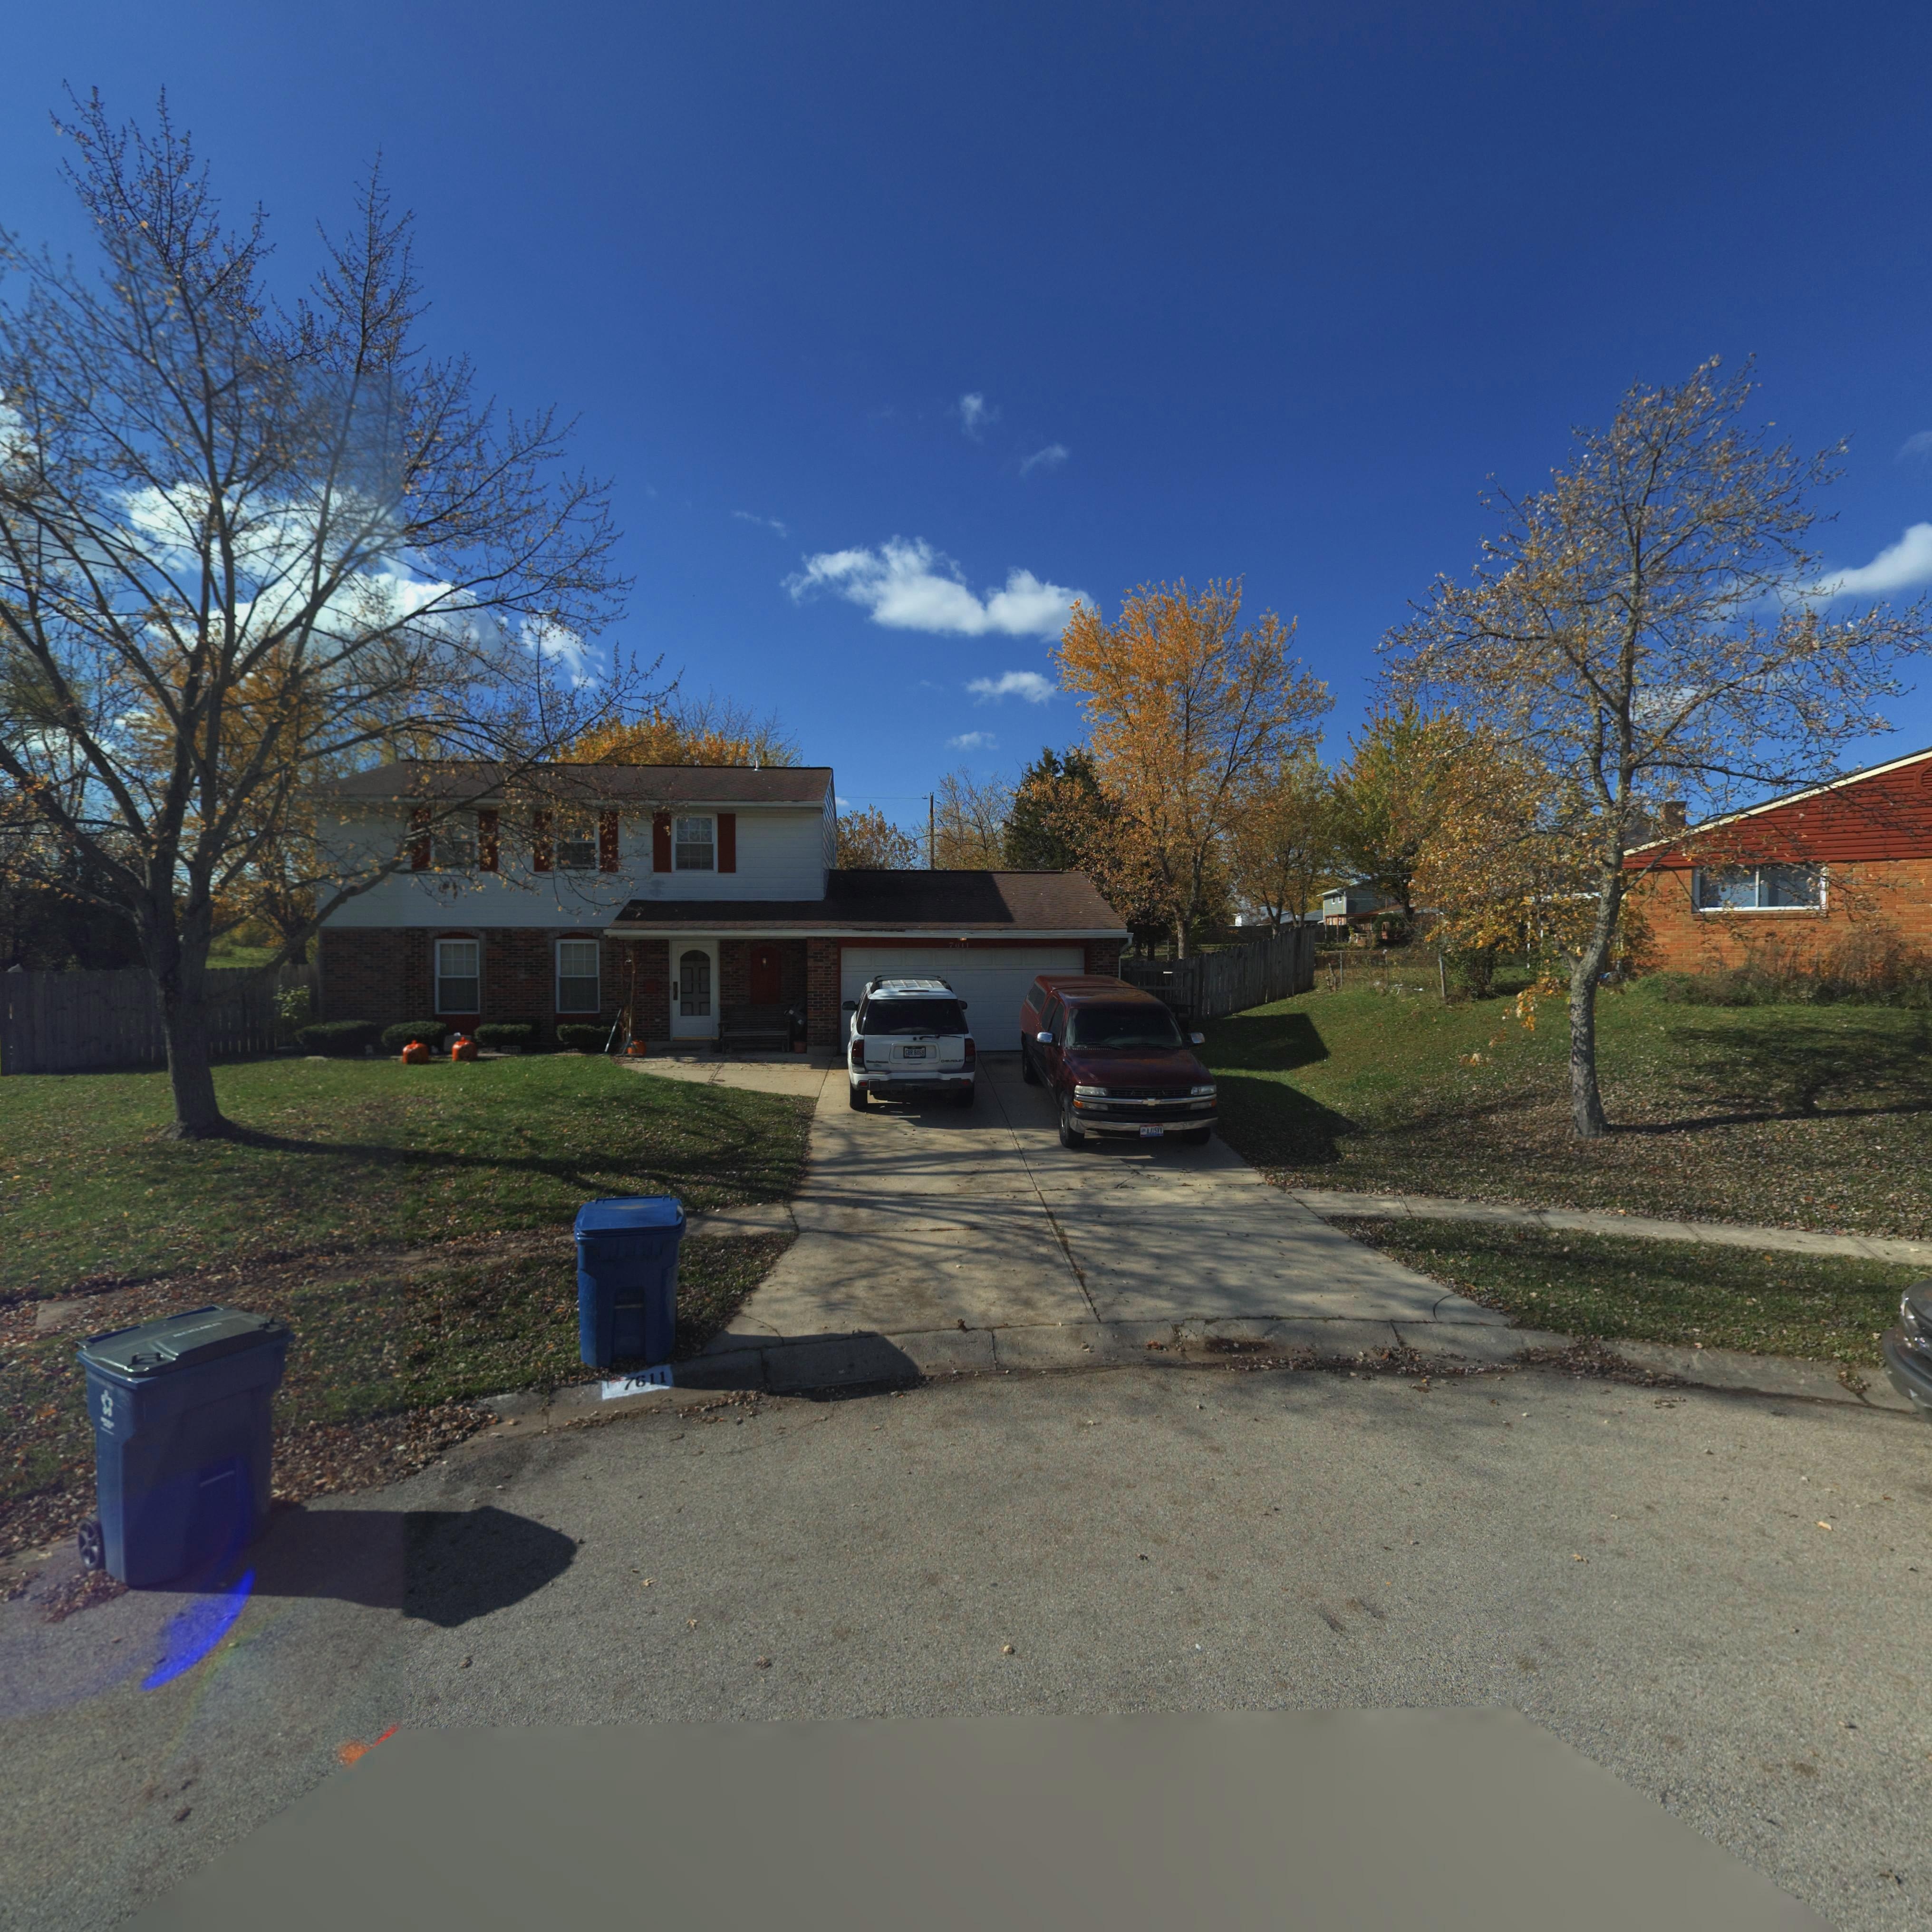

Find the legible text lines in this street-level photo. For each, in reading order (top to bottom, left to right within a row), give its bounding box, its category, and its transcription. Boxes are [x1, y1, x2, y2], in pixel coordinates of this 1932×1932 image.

[948, 941, 970, 949] StreetNumber: 7611
[623, 1370, 667, 1392] StreetNumber: 7611